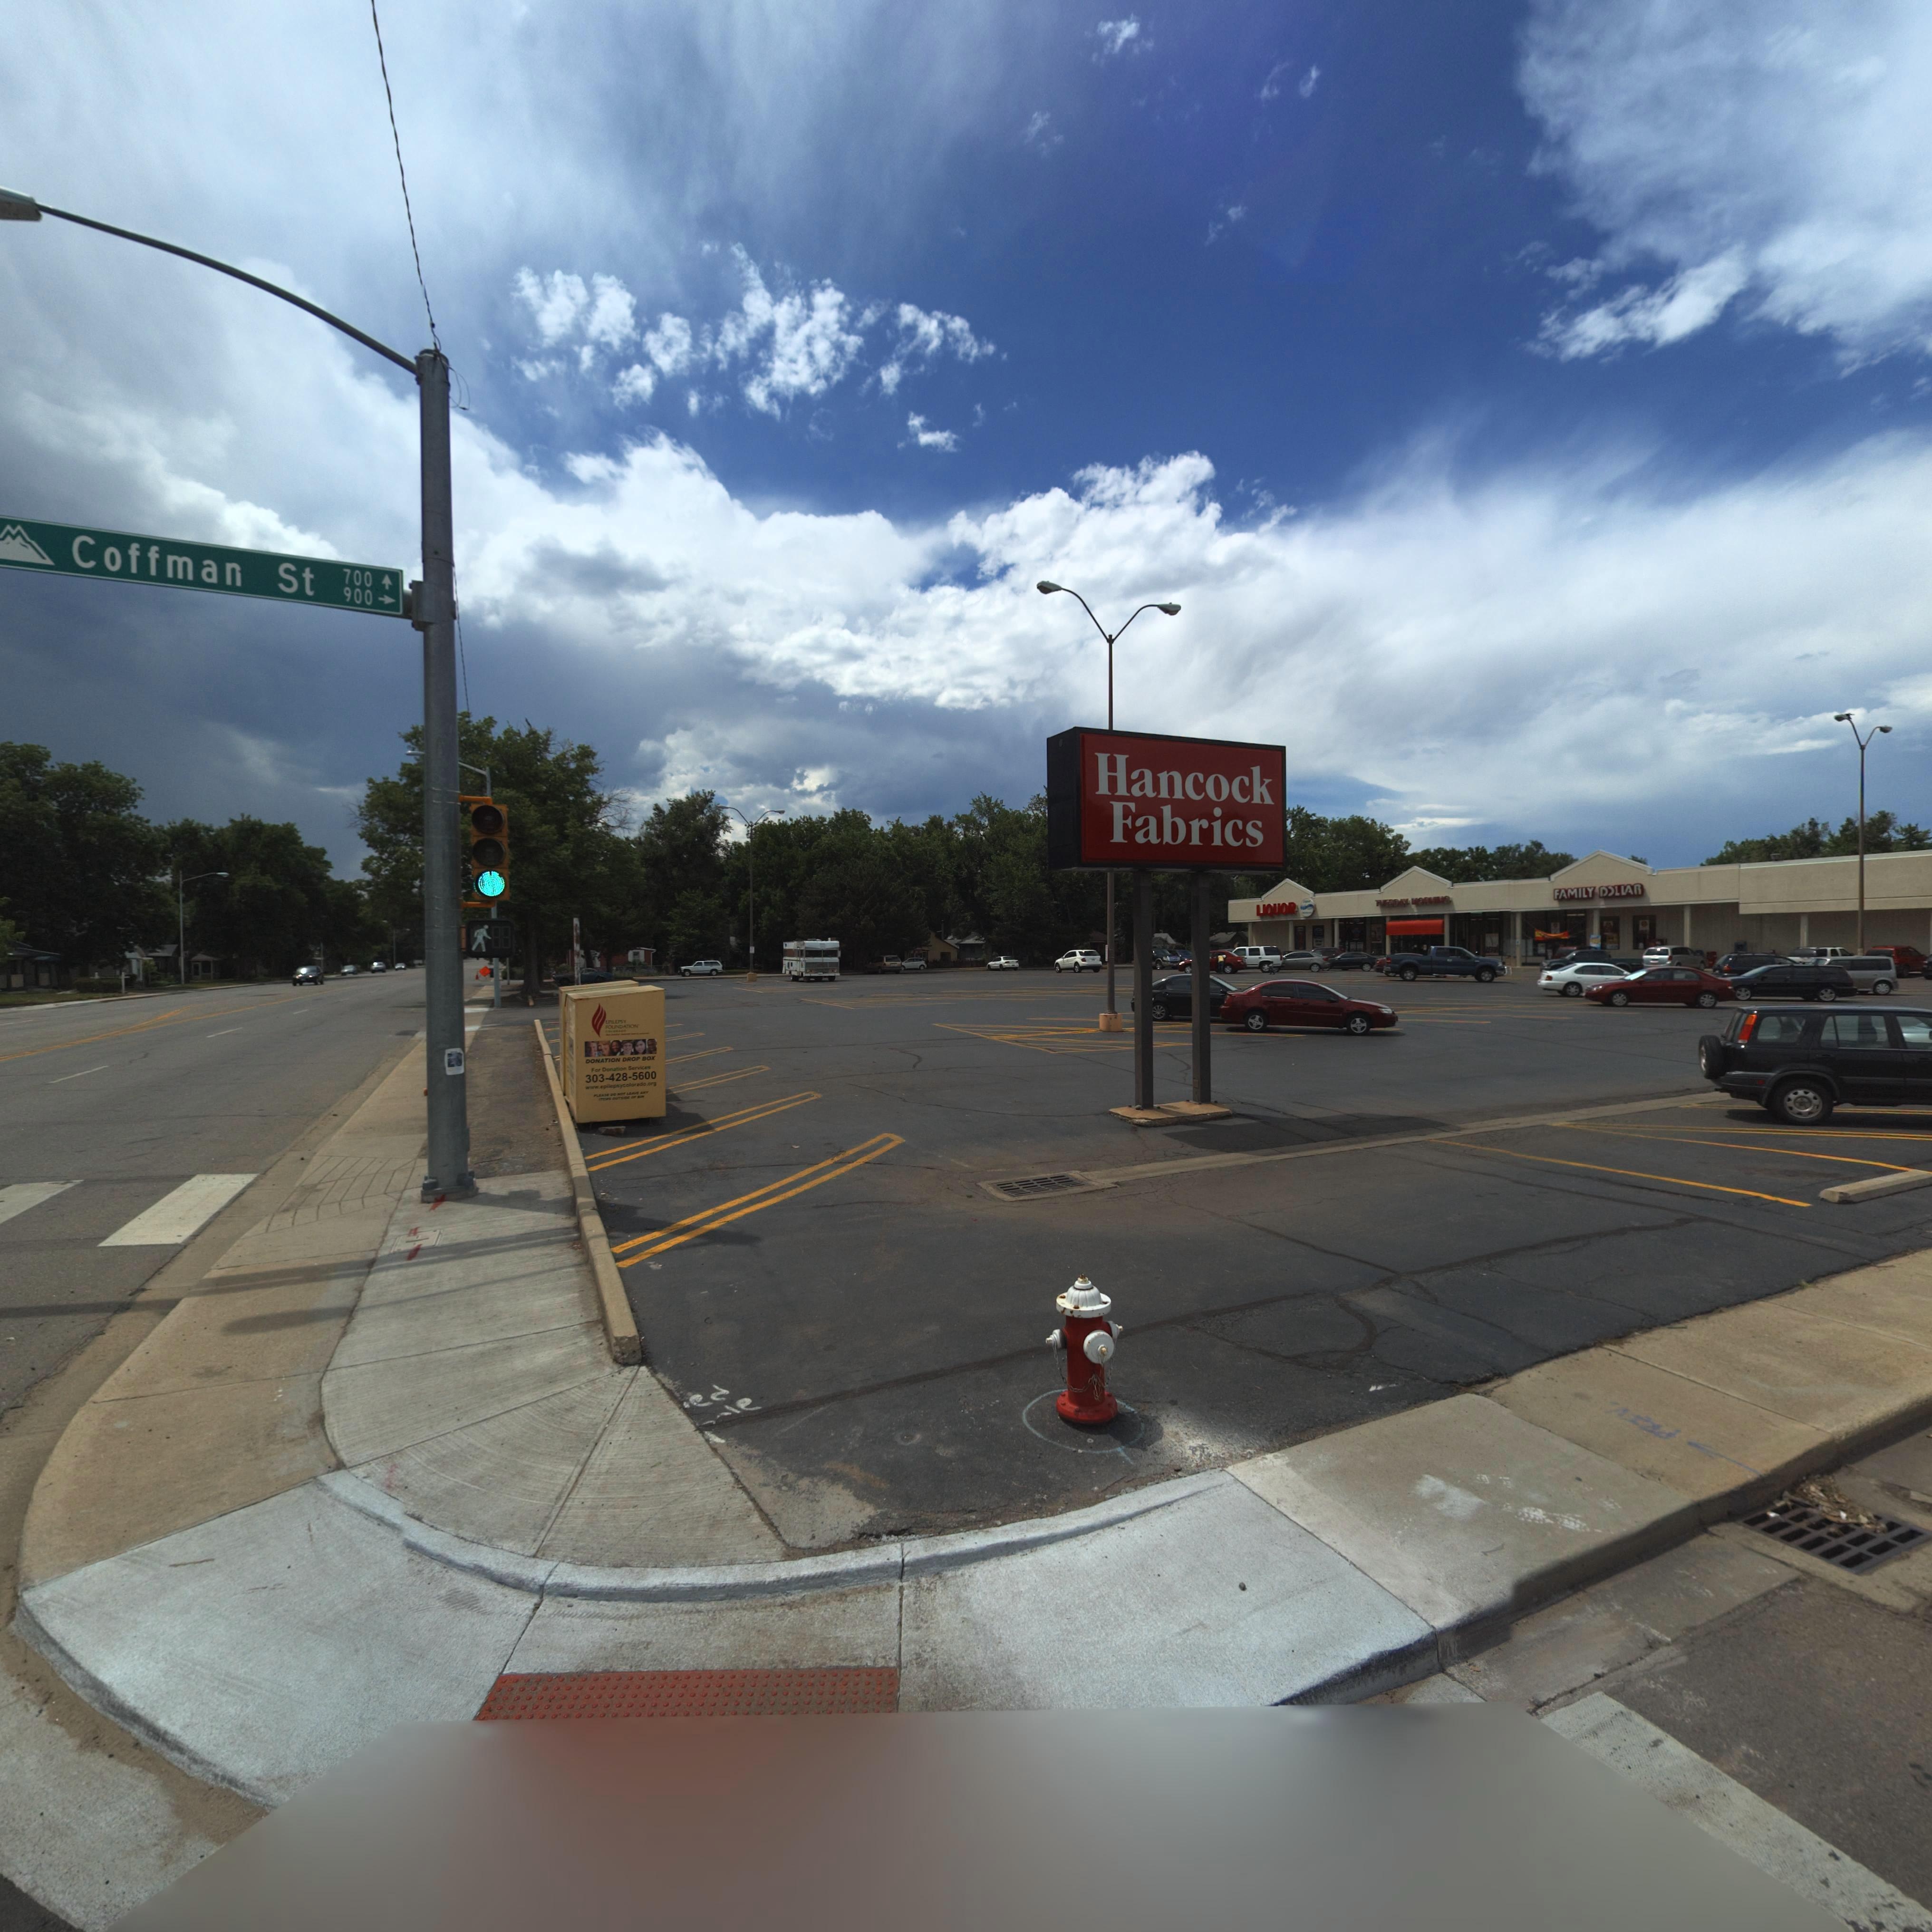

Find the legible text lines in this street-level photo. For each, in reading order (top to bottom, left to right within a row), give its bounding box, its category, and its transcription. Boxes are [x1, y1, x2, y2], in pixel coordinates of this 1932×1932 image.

[69, 534, 315, 597] StreetName: Coffman St
[343, 567, 372, 588] StreetNumberRange: 700
[343, 586, 396, 606] StreetNumberRange: 900->
[1094, 752, 1275, 806] BusinessName: Hancock
[1109, 800, 1264, 848] BusinessName: Fabrics
[1374, 895, 1450, 908] BusinessName: TU***DAY MO*****
[1554, 883, 1642, 899] BusinessName: FAMILY DOLLAR